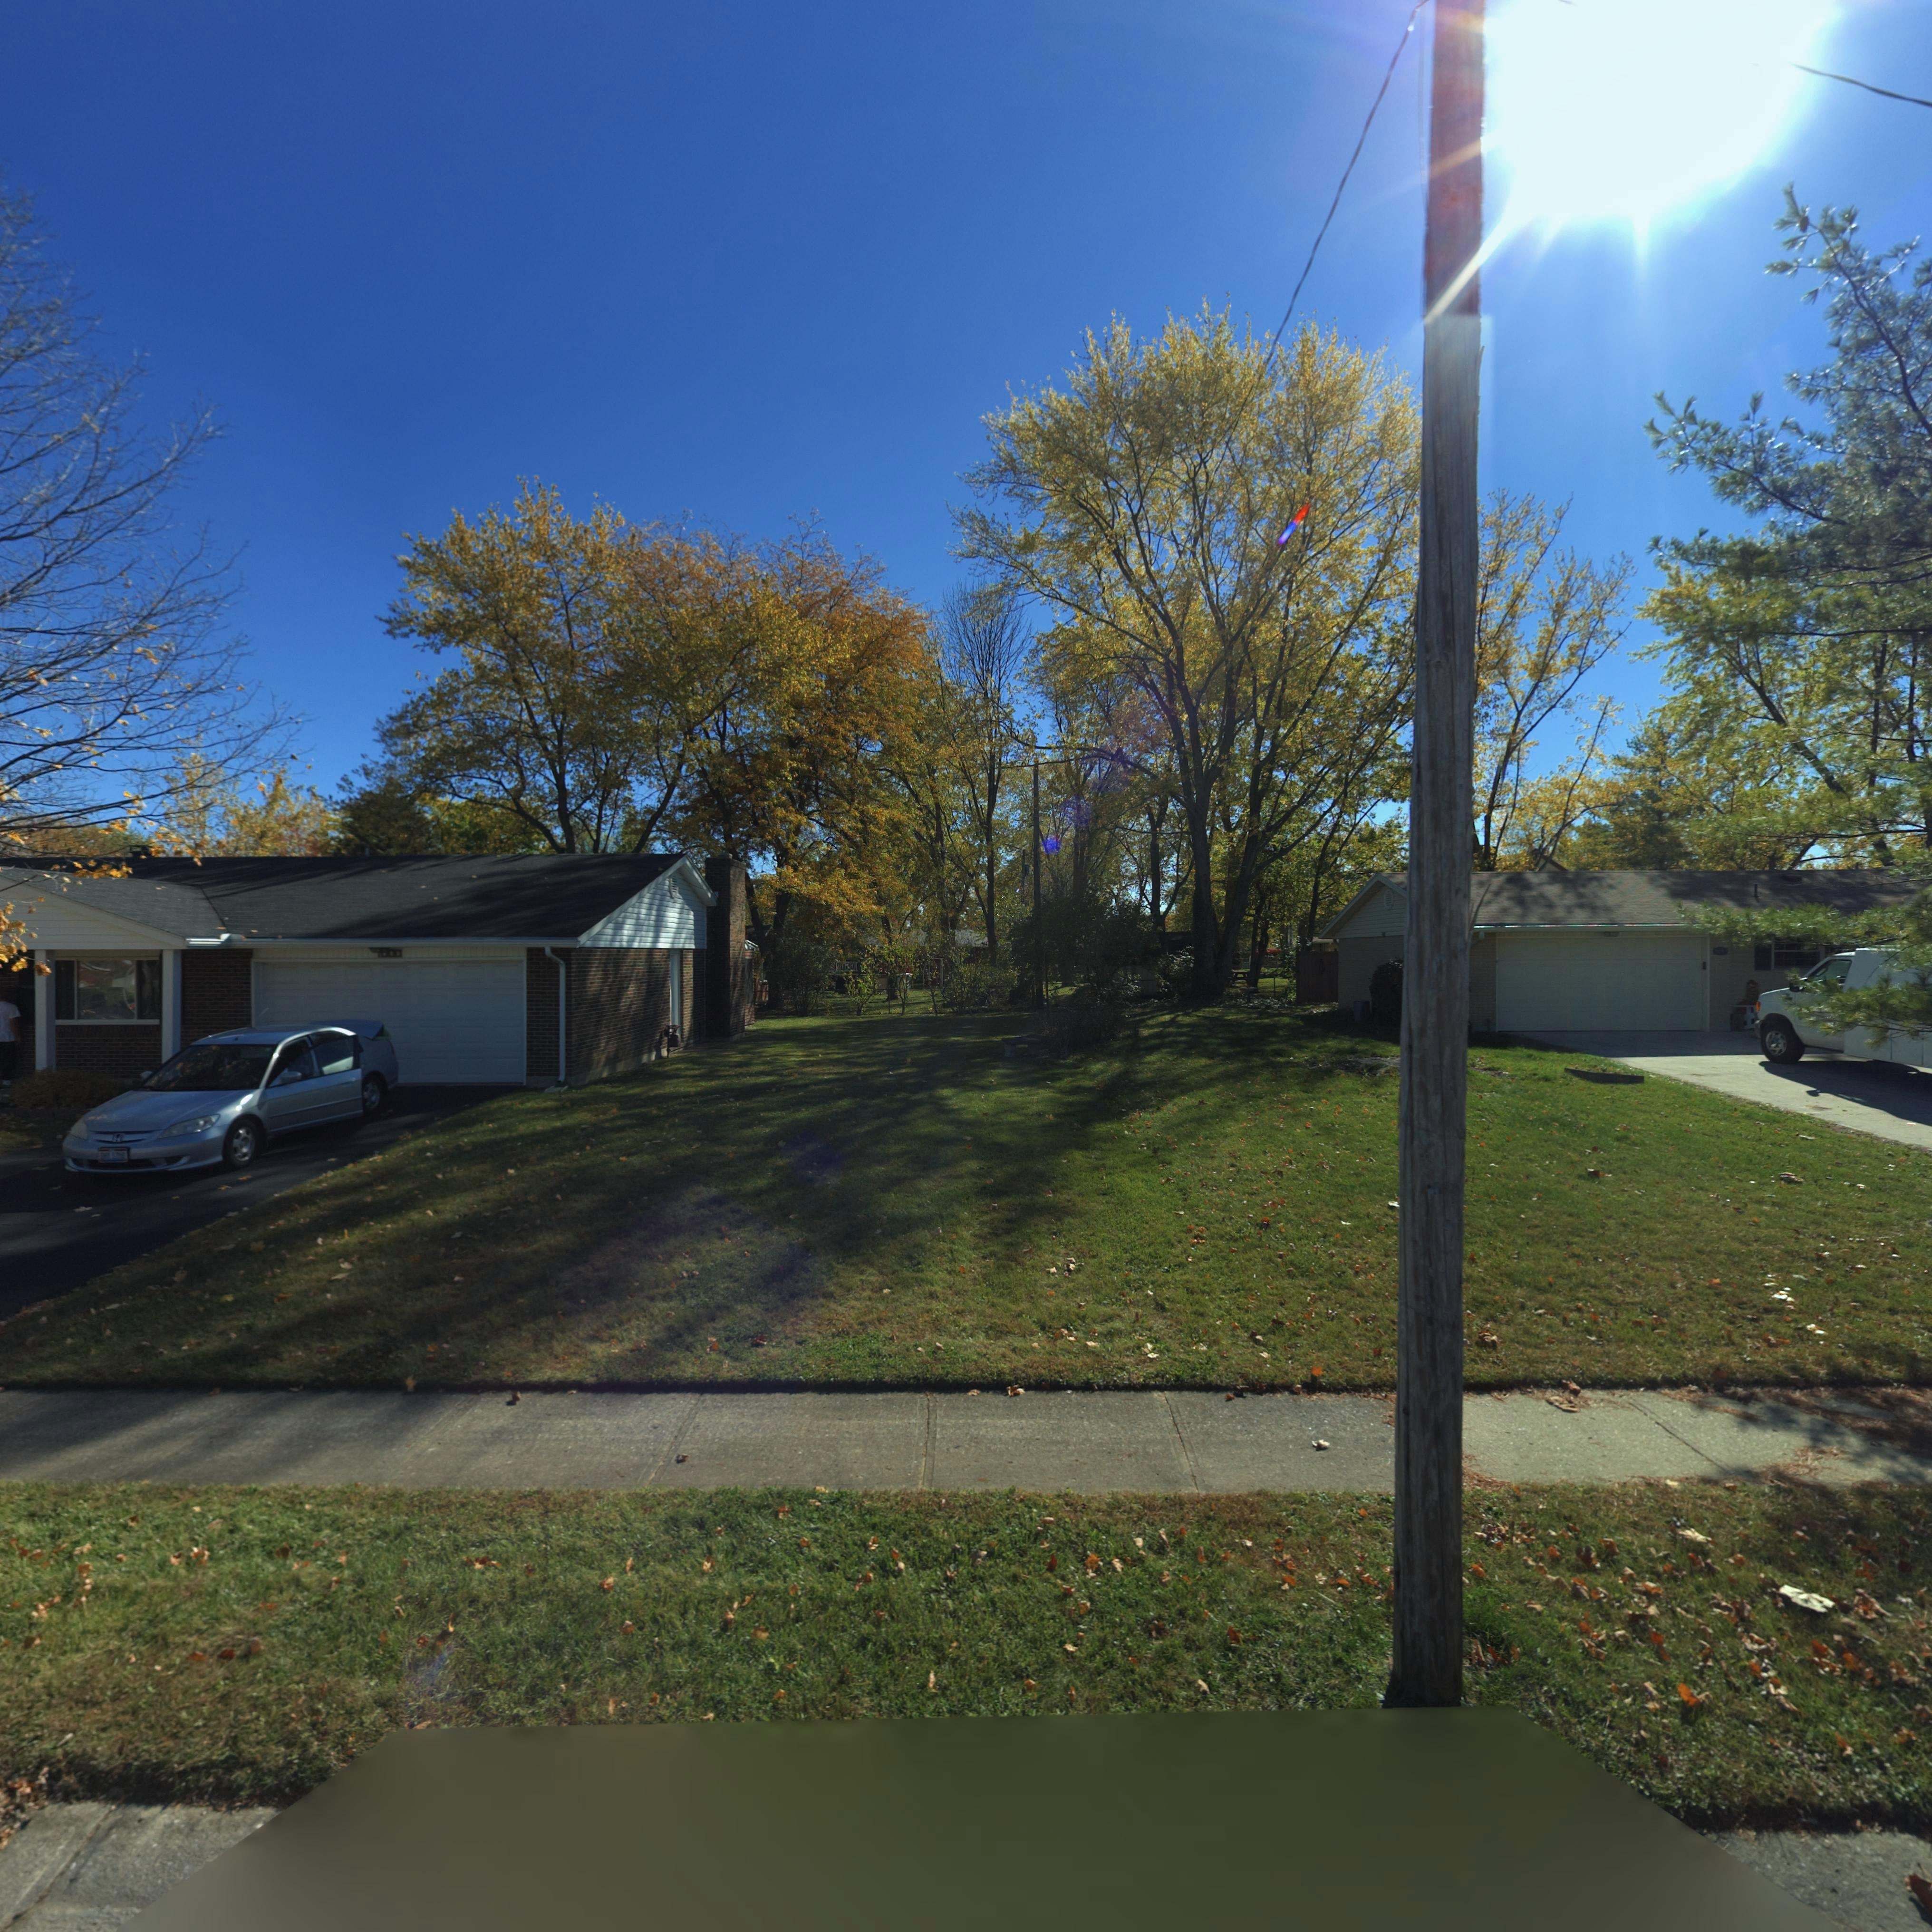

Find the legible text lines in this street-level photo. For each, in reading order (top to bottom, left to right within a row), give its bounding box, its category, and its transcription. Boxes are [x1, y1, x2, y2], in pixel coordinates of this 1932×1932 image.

[377, 949, 402, 957] StreetNumber: **00